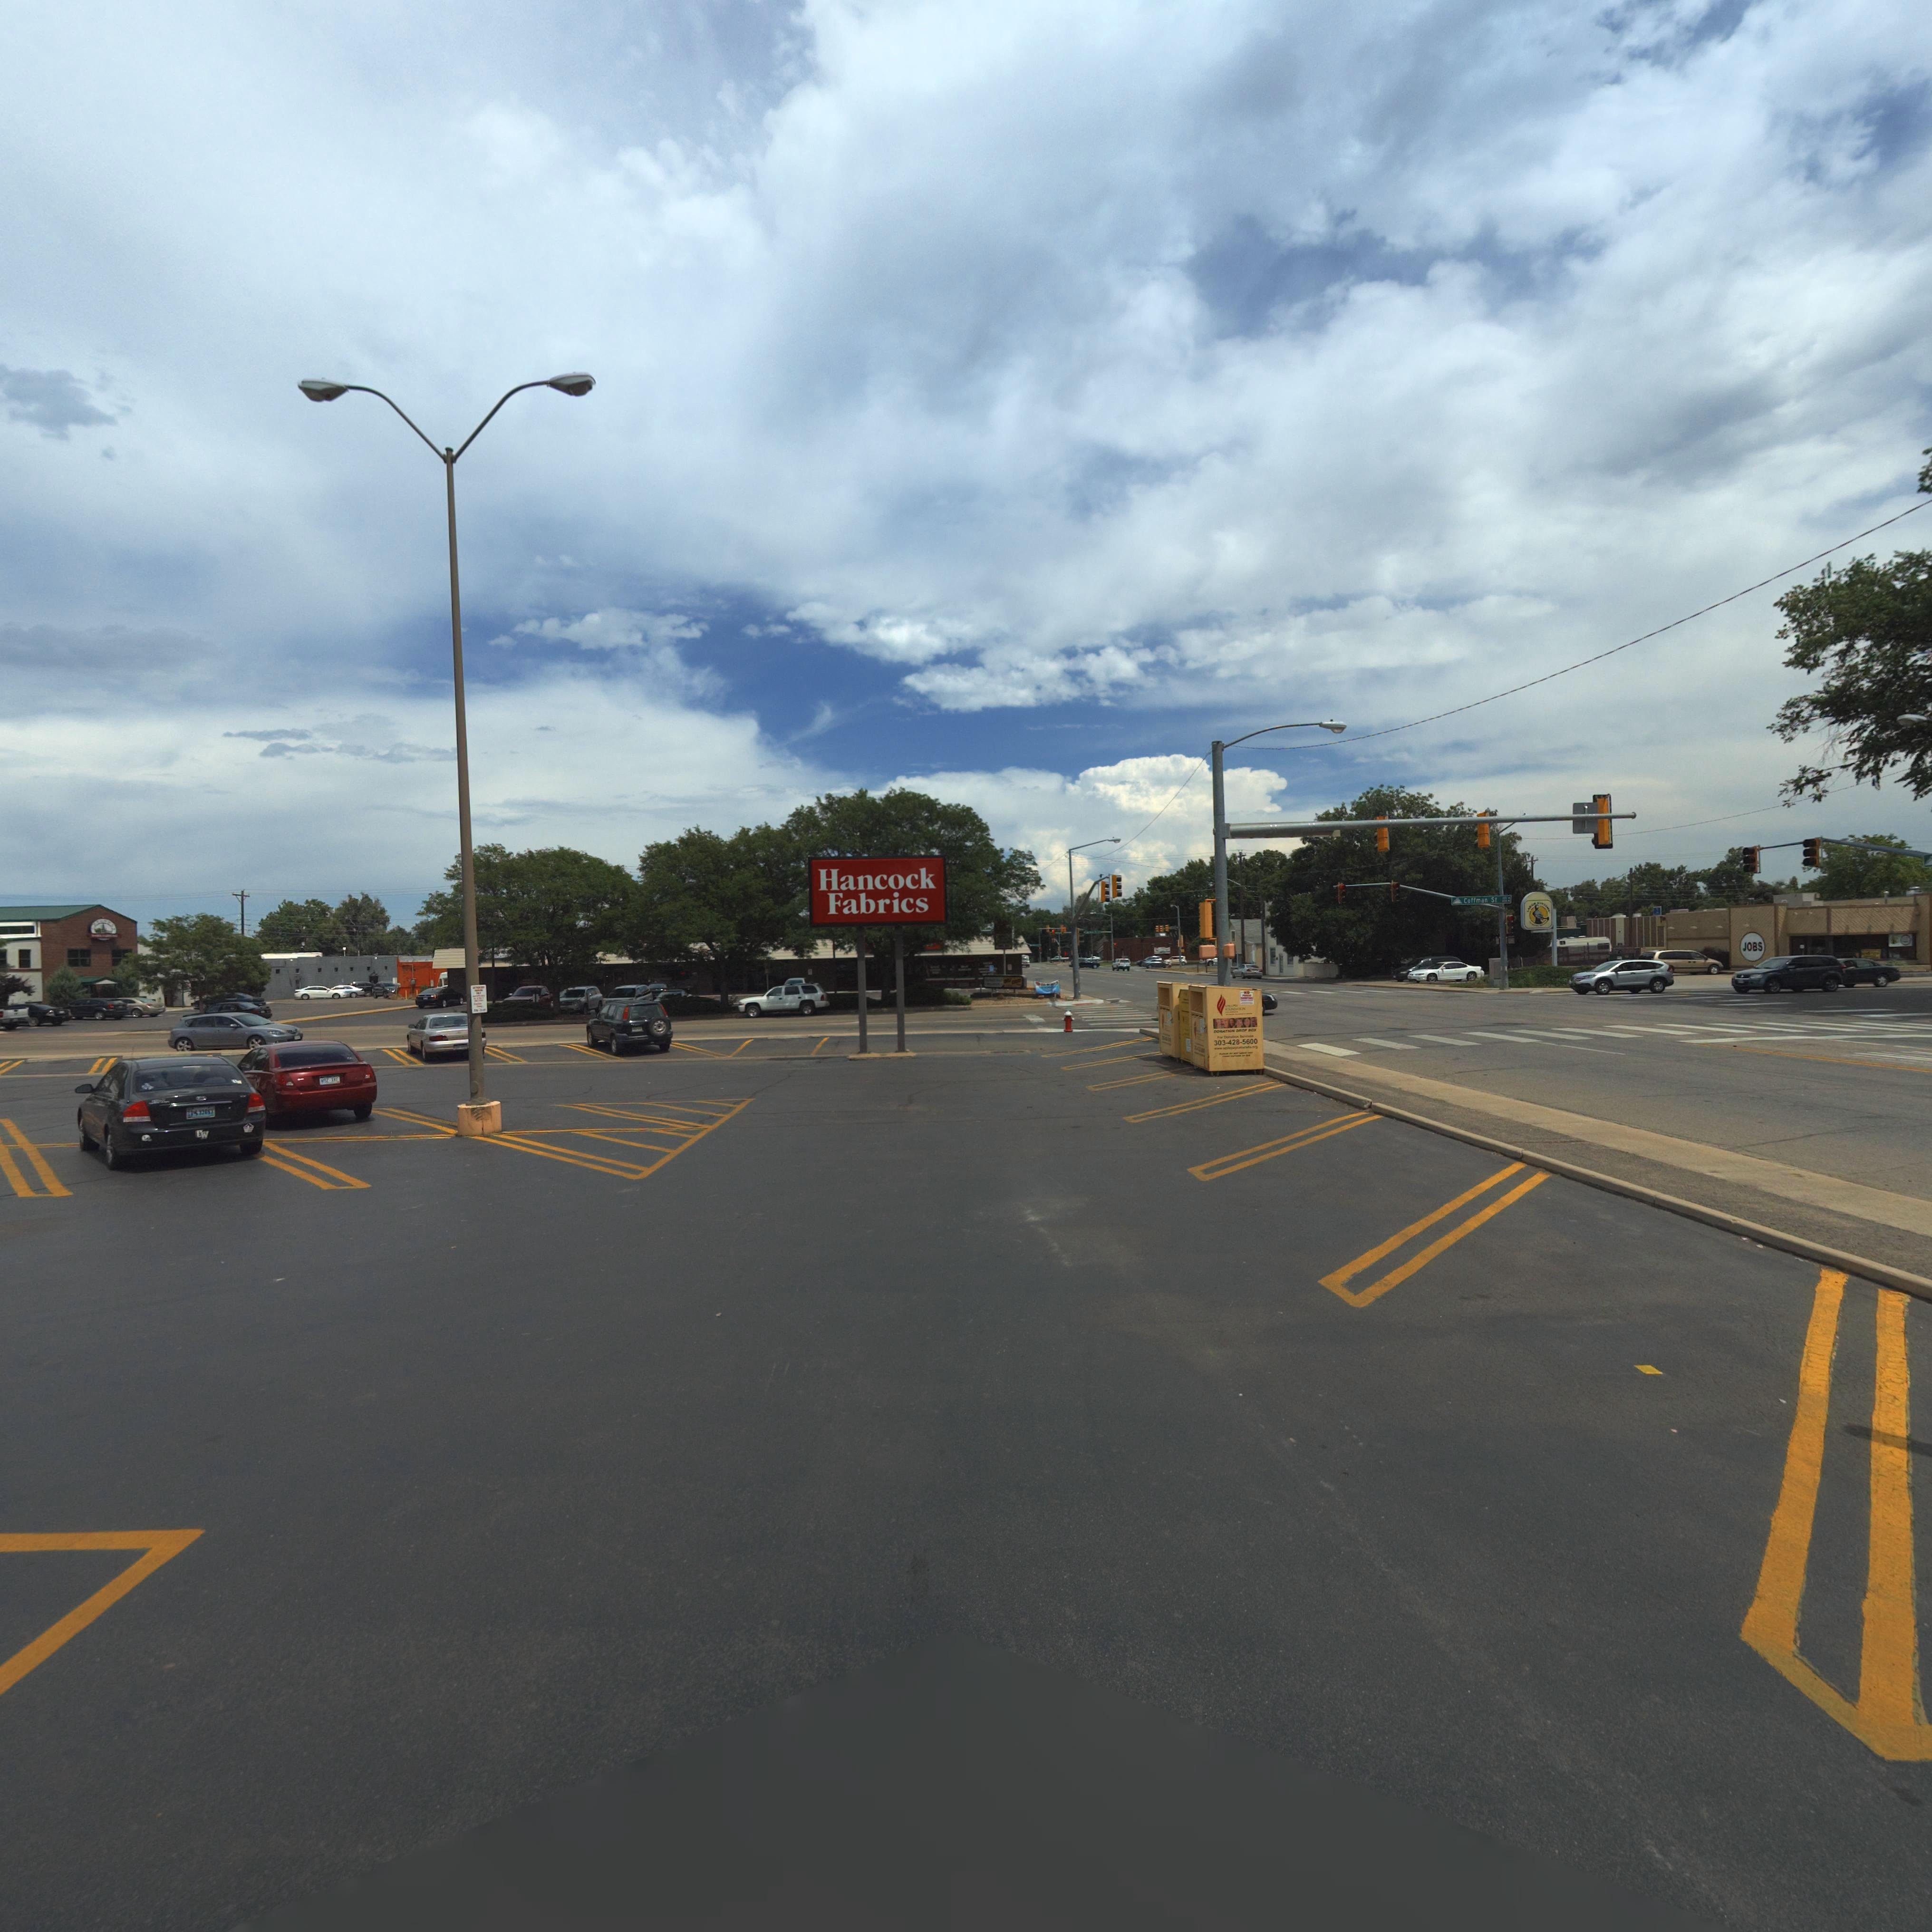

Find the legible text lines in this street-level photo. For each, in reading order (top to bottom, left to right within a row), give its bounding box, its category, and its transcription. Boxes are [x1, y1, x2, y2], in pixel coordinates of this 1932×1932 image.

[817, 866, 937, 891] BusinessName: Hancock
[826, 891, 930, 915] BusinessName: Fabrics
[1463, 896, 1497, 903] StreetName: Coffm*n St